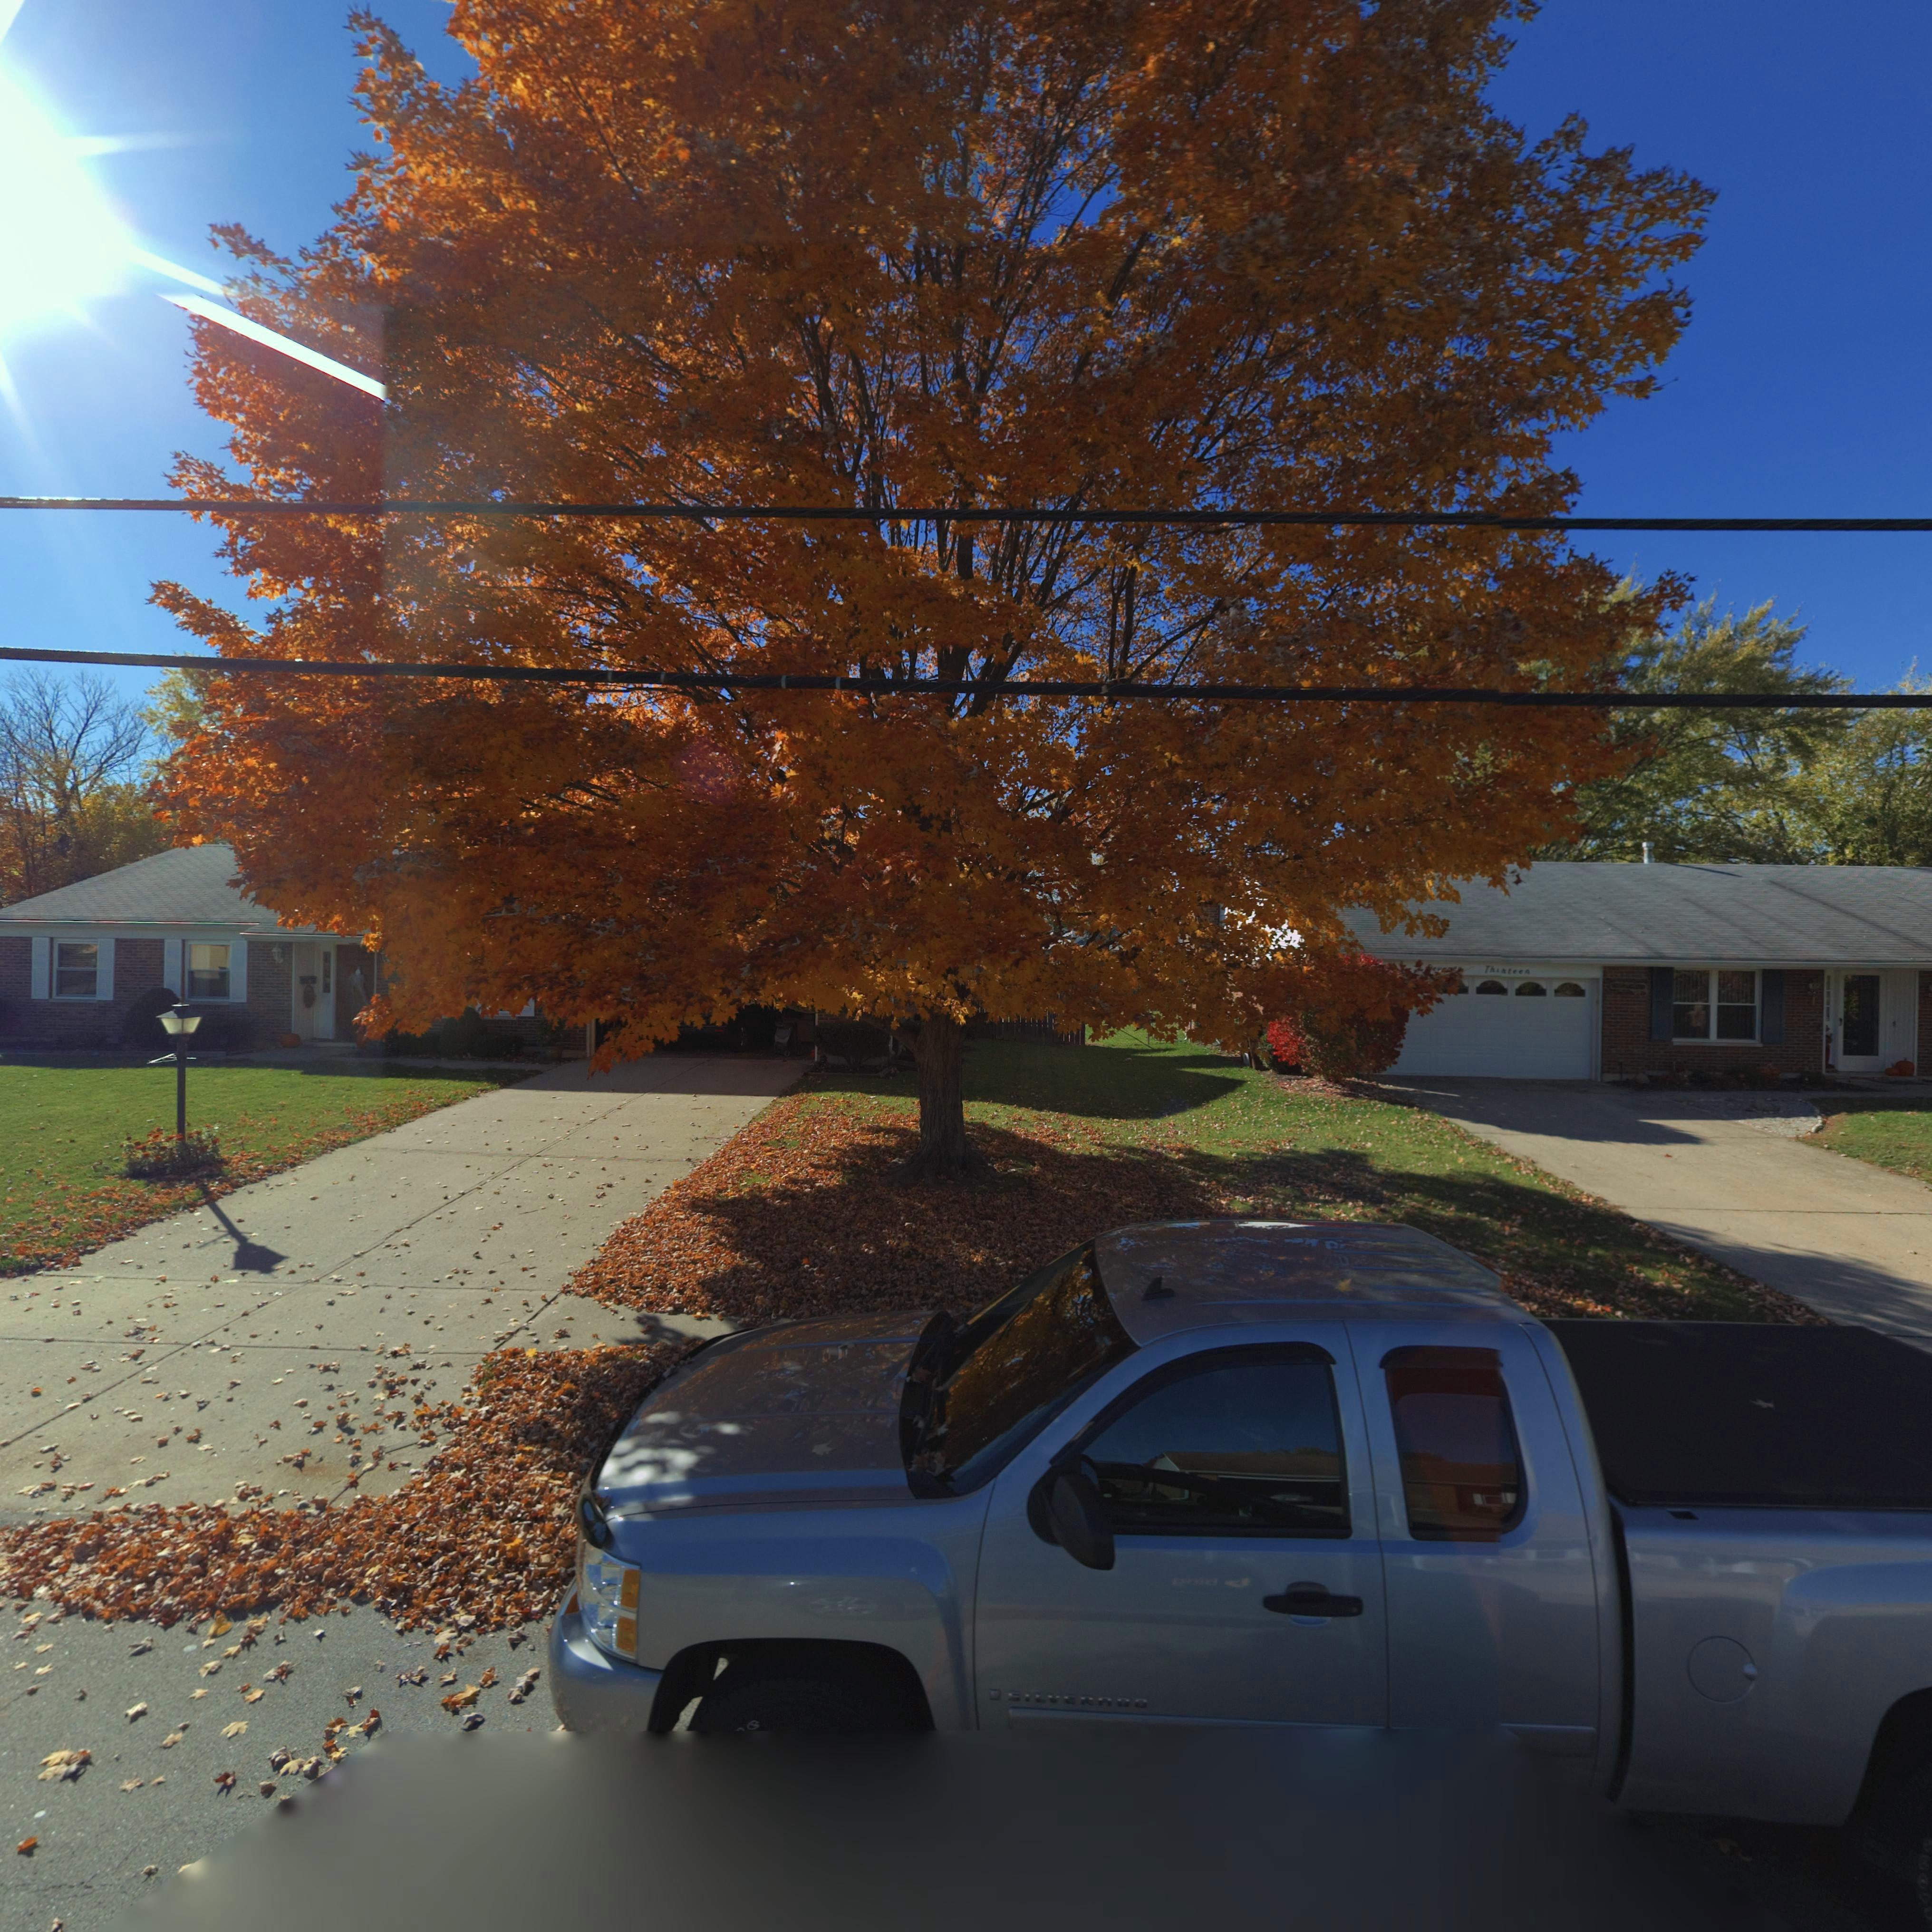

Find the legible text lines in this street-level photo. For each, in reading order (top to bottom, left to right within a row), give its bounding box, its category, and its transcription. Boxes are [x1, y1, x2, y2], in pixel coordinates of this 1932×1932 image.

[1484, 965, 1530, 975] StreetNumber: Thirteen